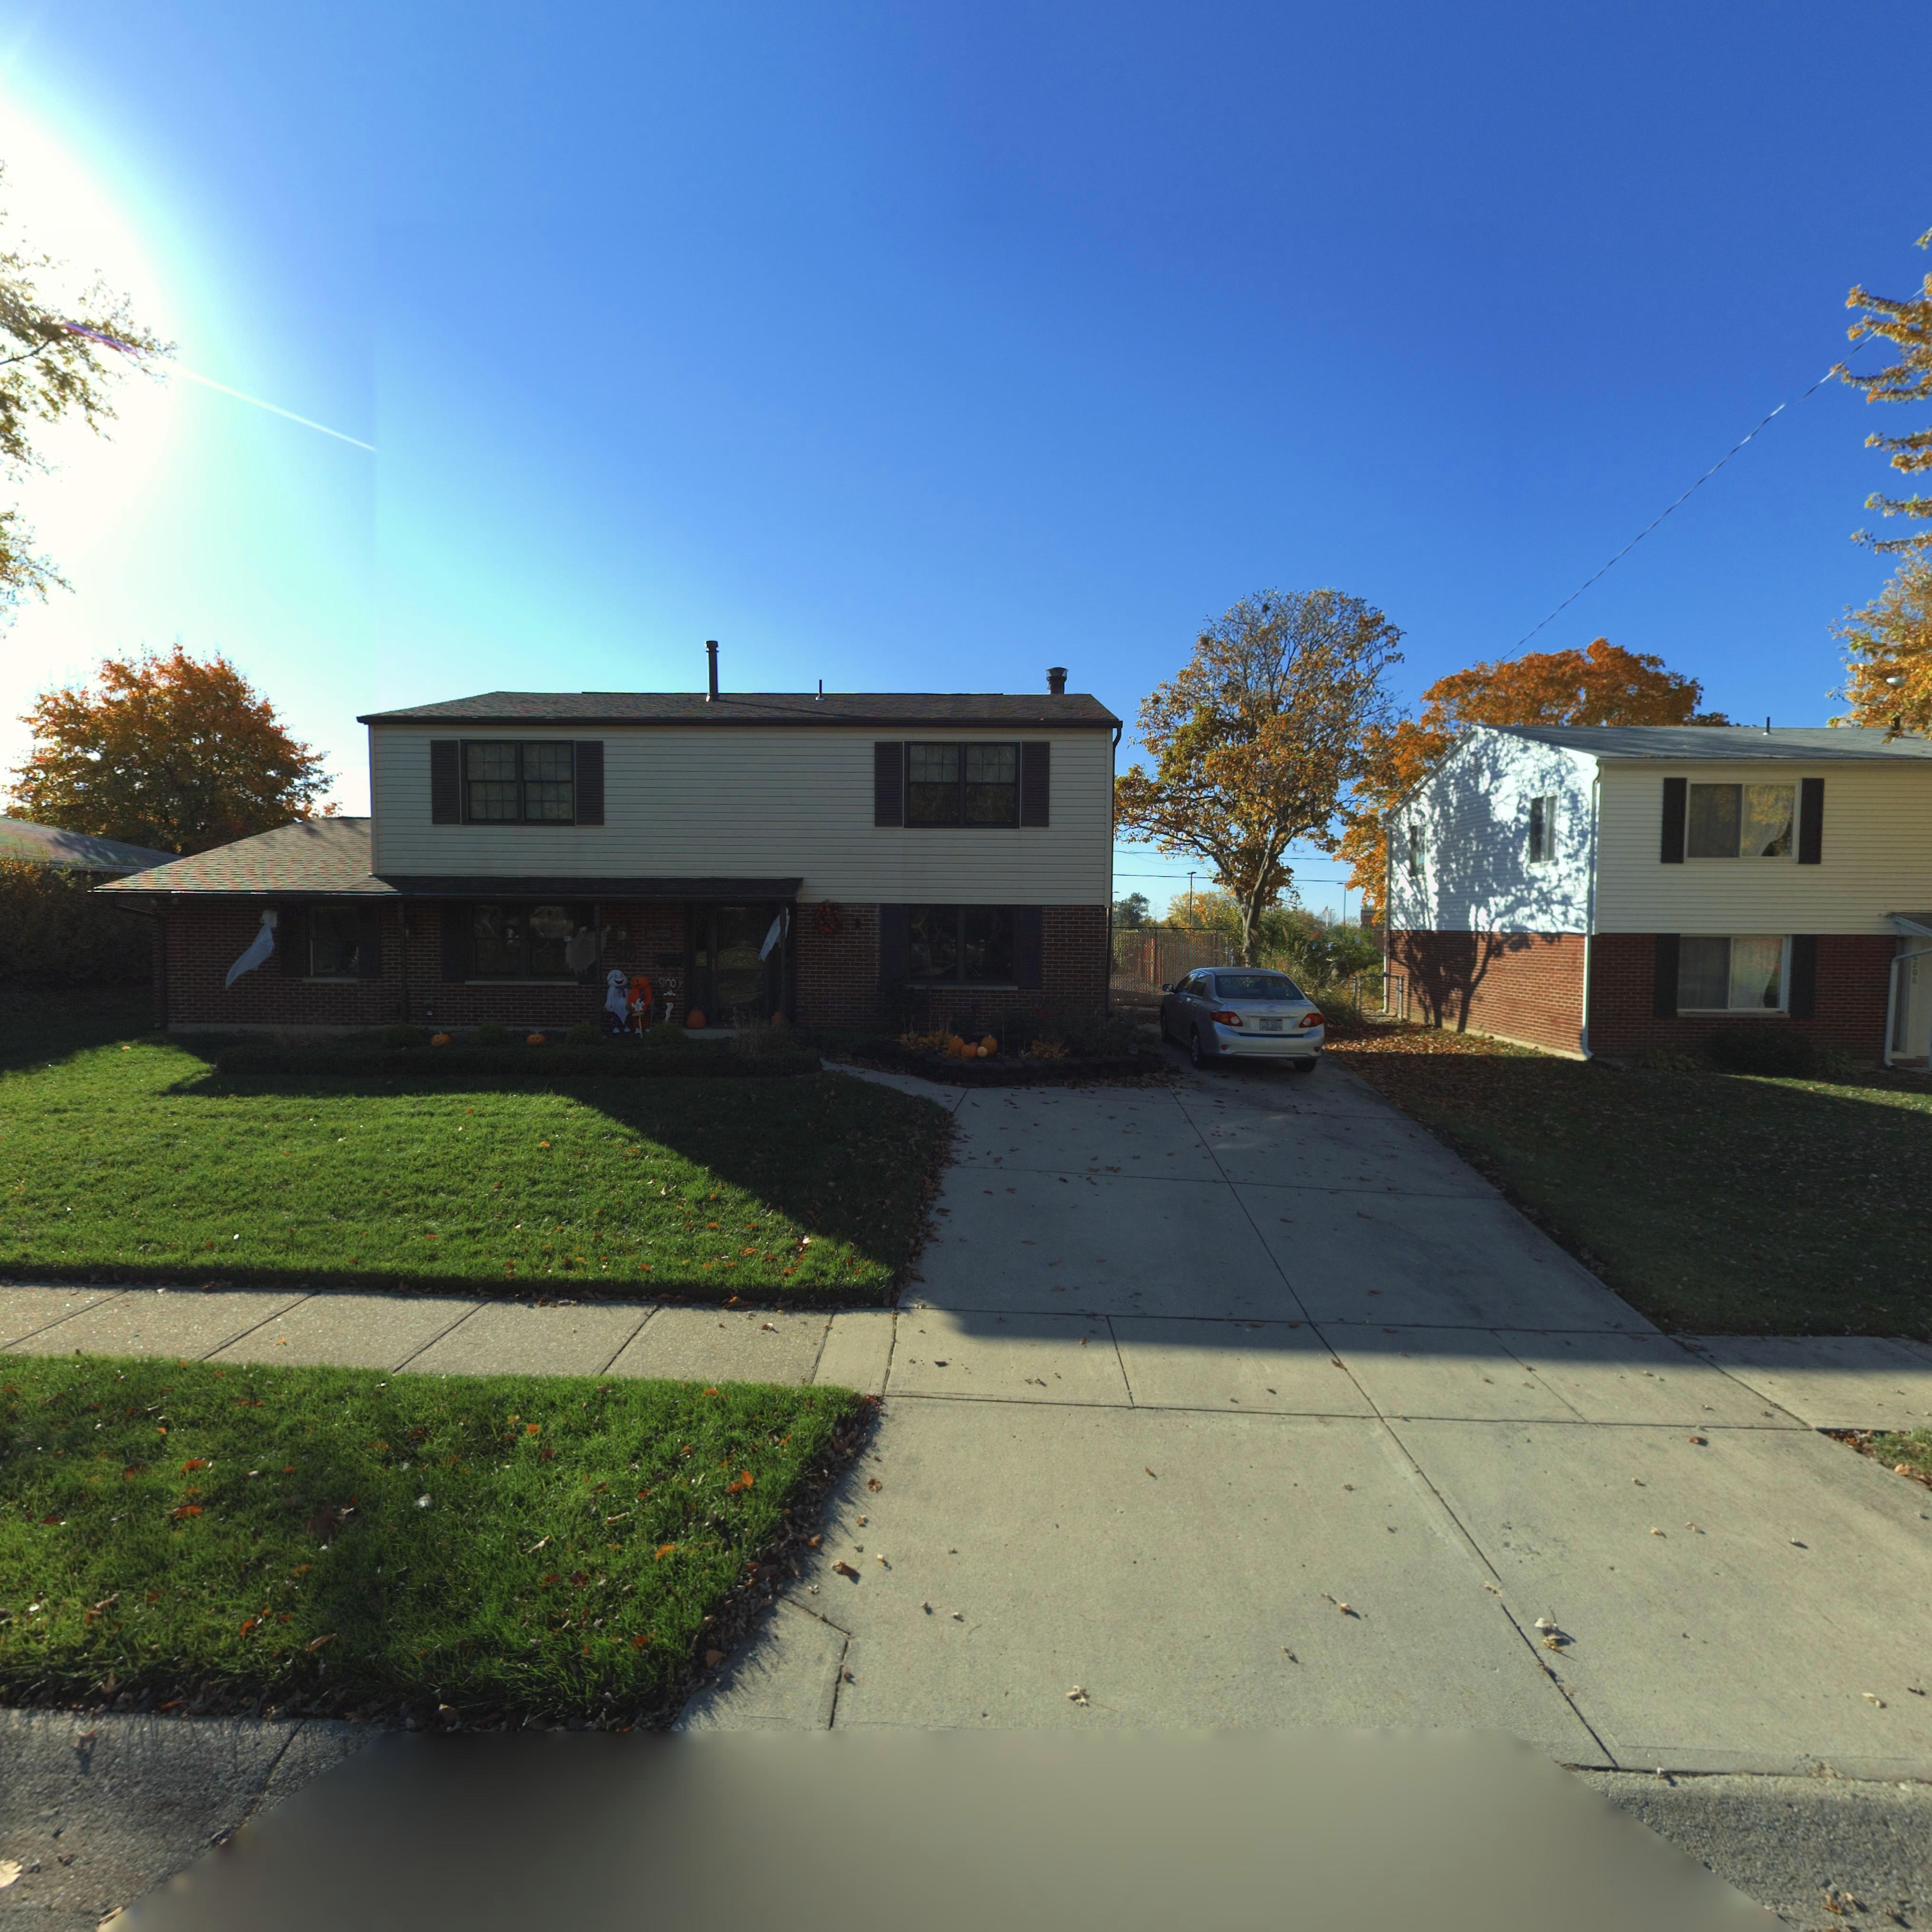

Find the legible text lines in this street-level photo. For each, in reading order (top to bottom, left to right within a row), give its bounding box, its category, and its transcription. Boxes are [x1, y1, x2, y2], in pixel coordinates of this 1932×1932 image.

[615, 947, 636, 961] StreetNumber: 6212
[1911, 954, 1919, 985] StreetNumber: 6206